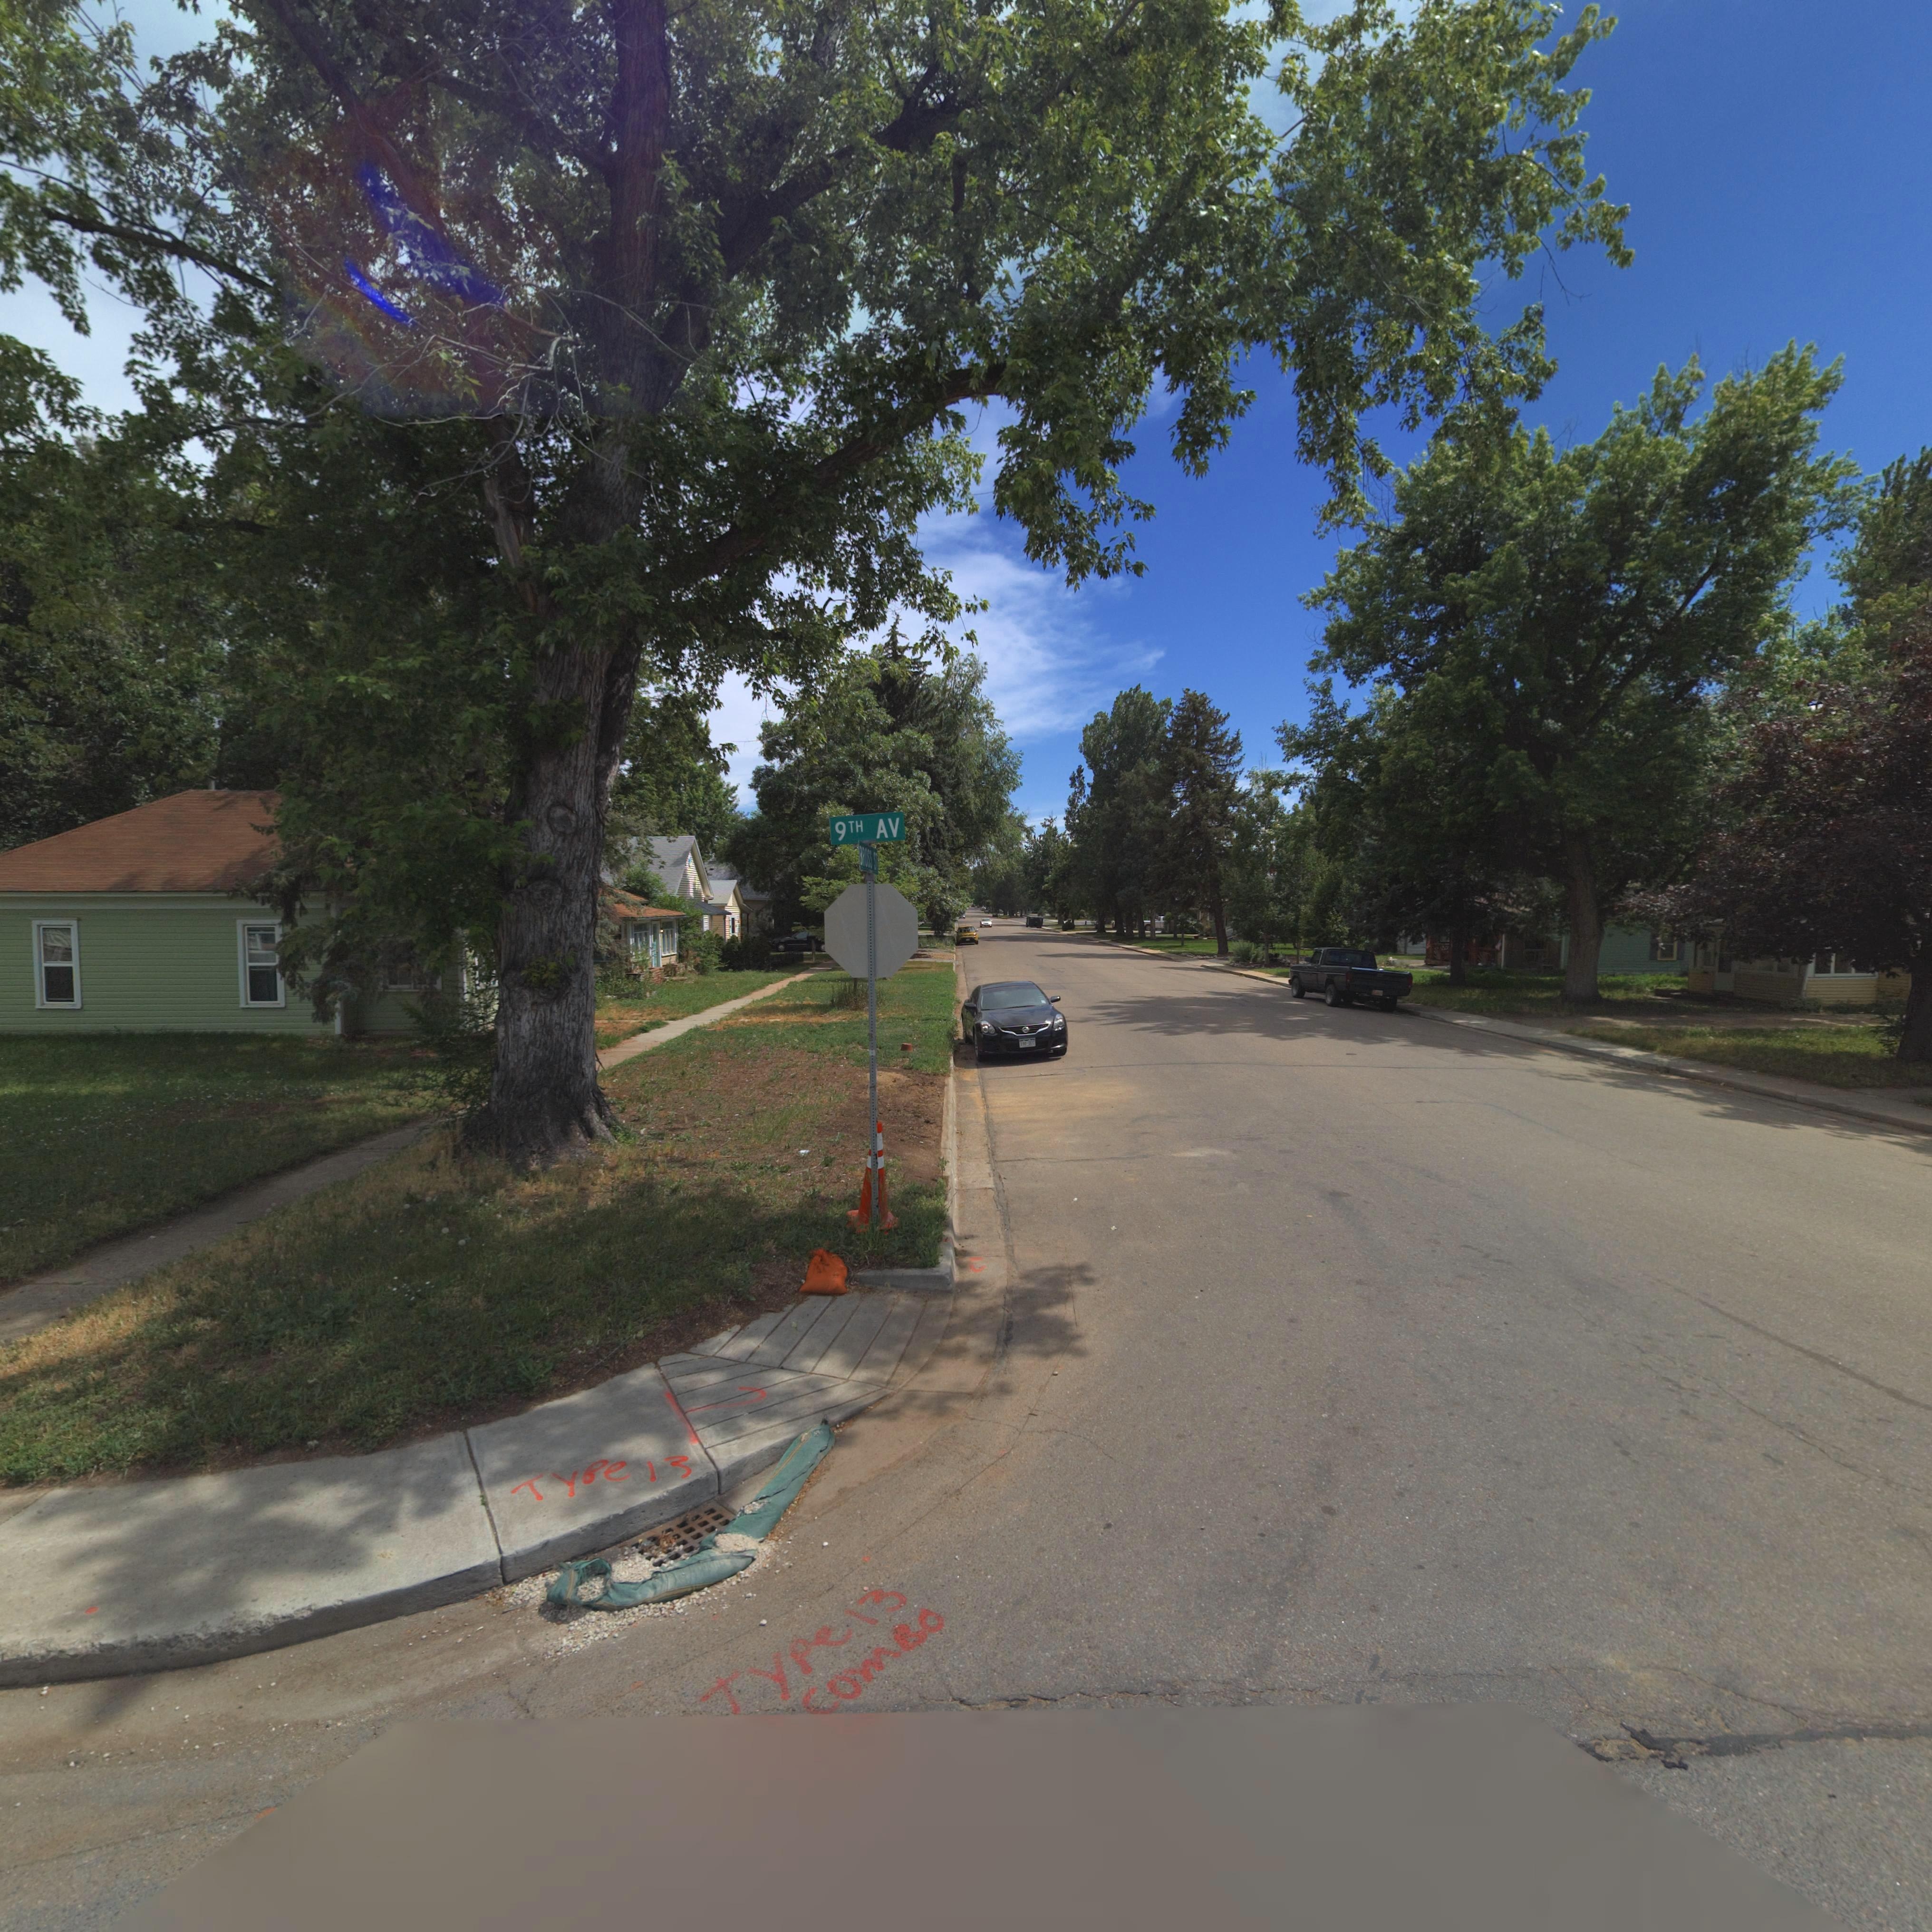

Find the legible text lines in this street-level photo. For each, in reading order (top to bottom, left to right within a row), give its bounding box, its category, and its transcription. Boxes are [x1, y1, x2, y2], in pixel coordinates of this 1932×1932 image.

[834, 816, 901, 841] StreetNumber: 9TH AV
[859, 845, 878, 871] StreetName: *ROSS ST